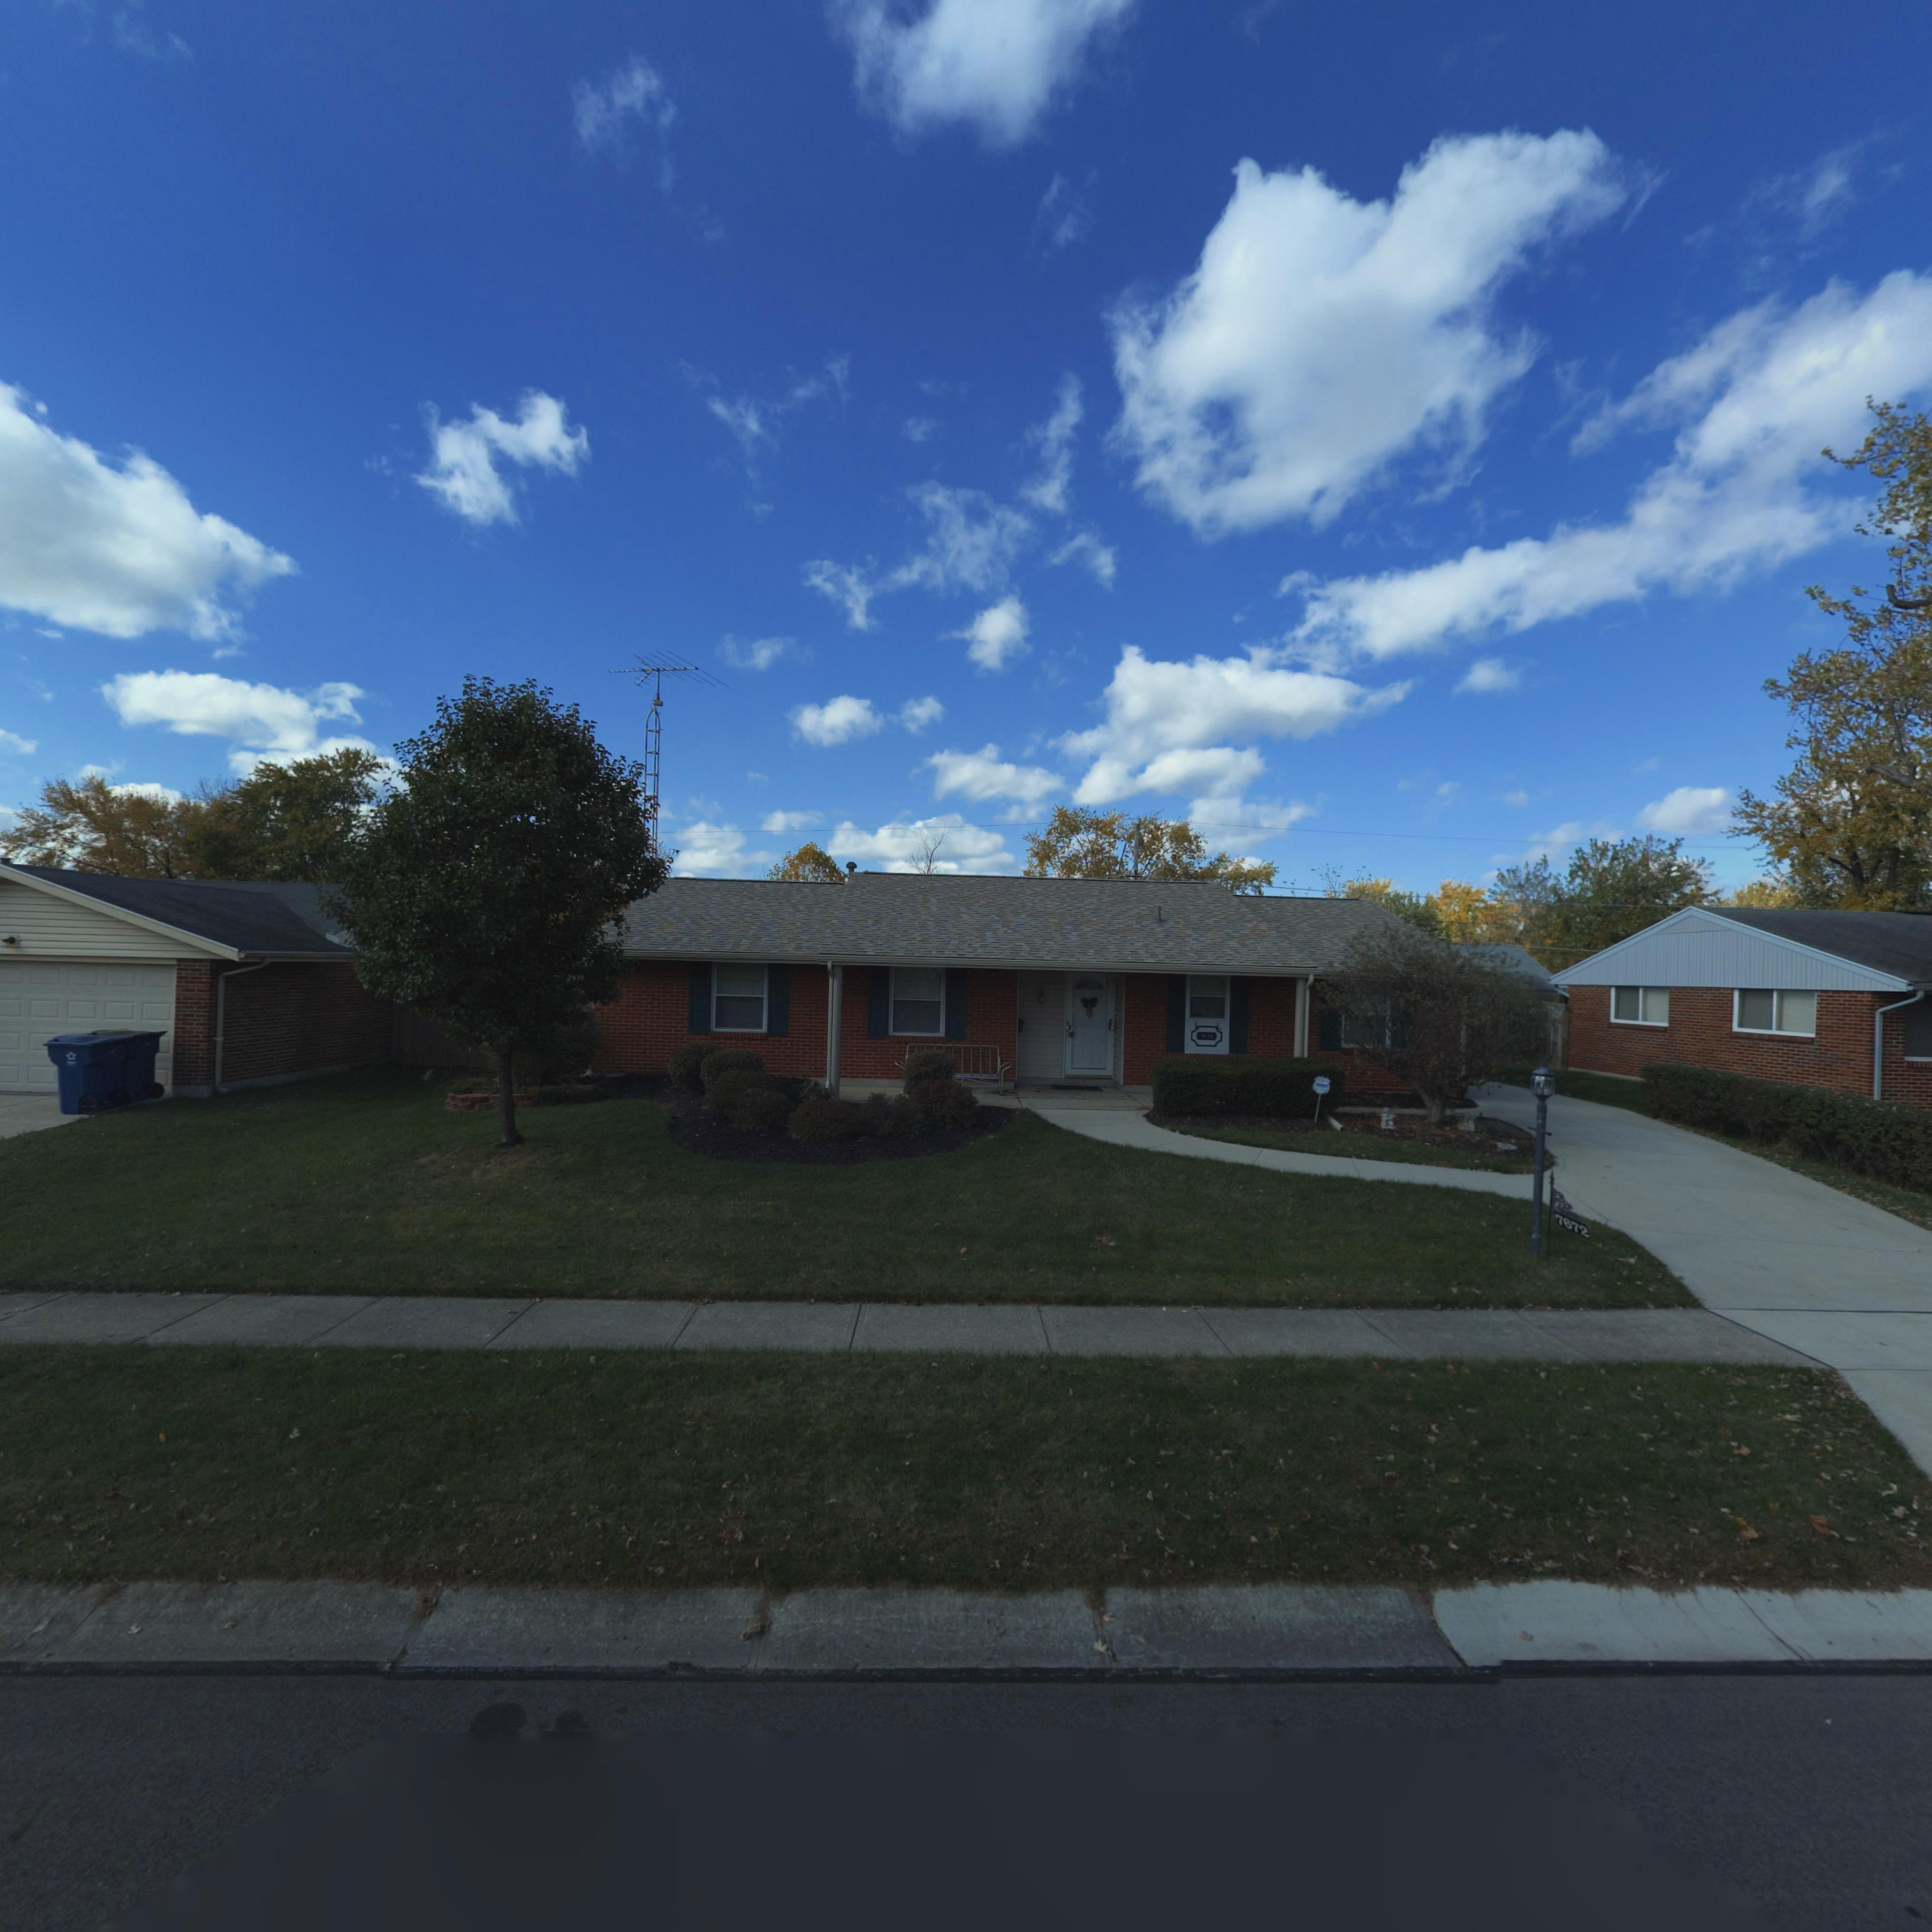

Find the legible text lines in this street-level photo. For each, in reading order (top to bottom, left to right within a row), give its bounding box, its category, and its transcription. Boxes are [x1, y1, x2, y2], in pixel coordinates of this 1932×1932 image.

[1200, 1033, 1213, 1038] StreetNumber: 7672
[1554, 1212, 1590, 1239] StreetNumber: 7672